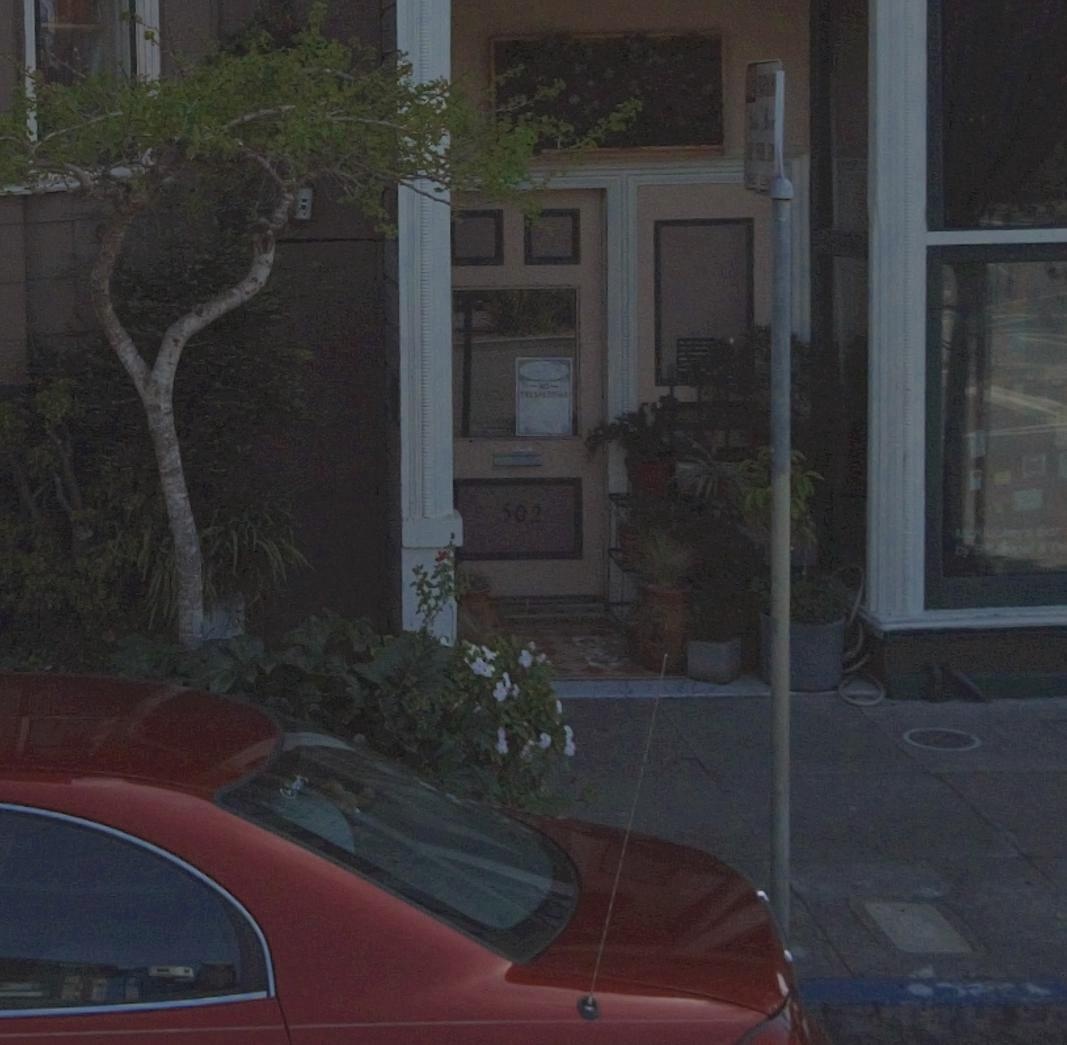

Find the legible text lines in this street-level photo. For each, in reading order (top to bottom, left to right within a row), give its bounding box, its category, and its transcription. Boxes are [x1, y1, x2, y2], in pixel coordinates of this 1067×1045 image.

[499, 501, 545, 525] StreetNumber: 502